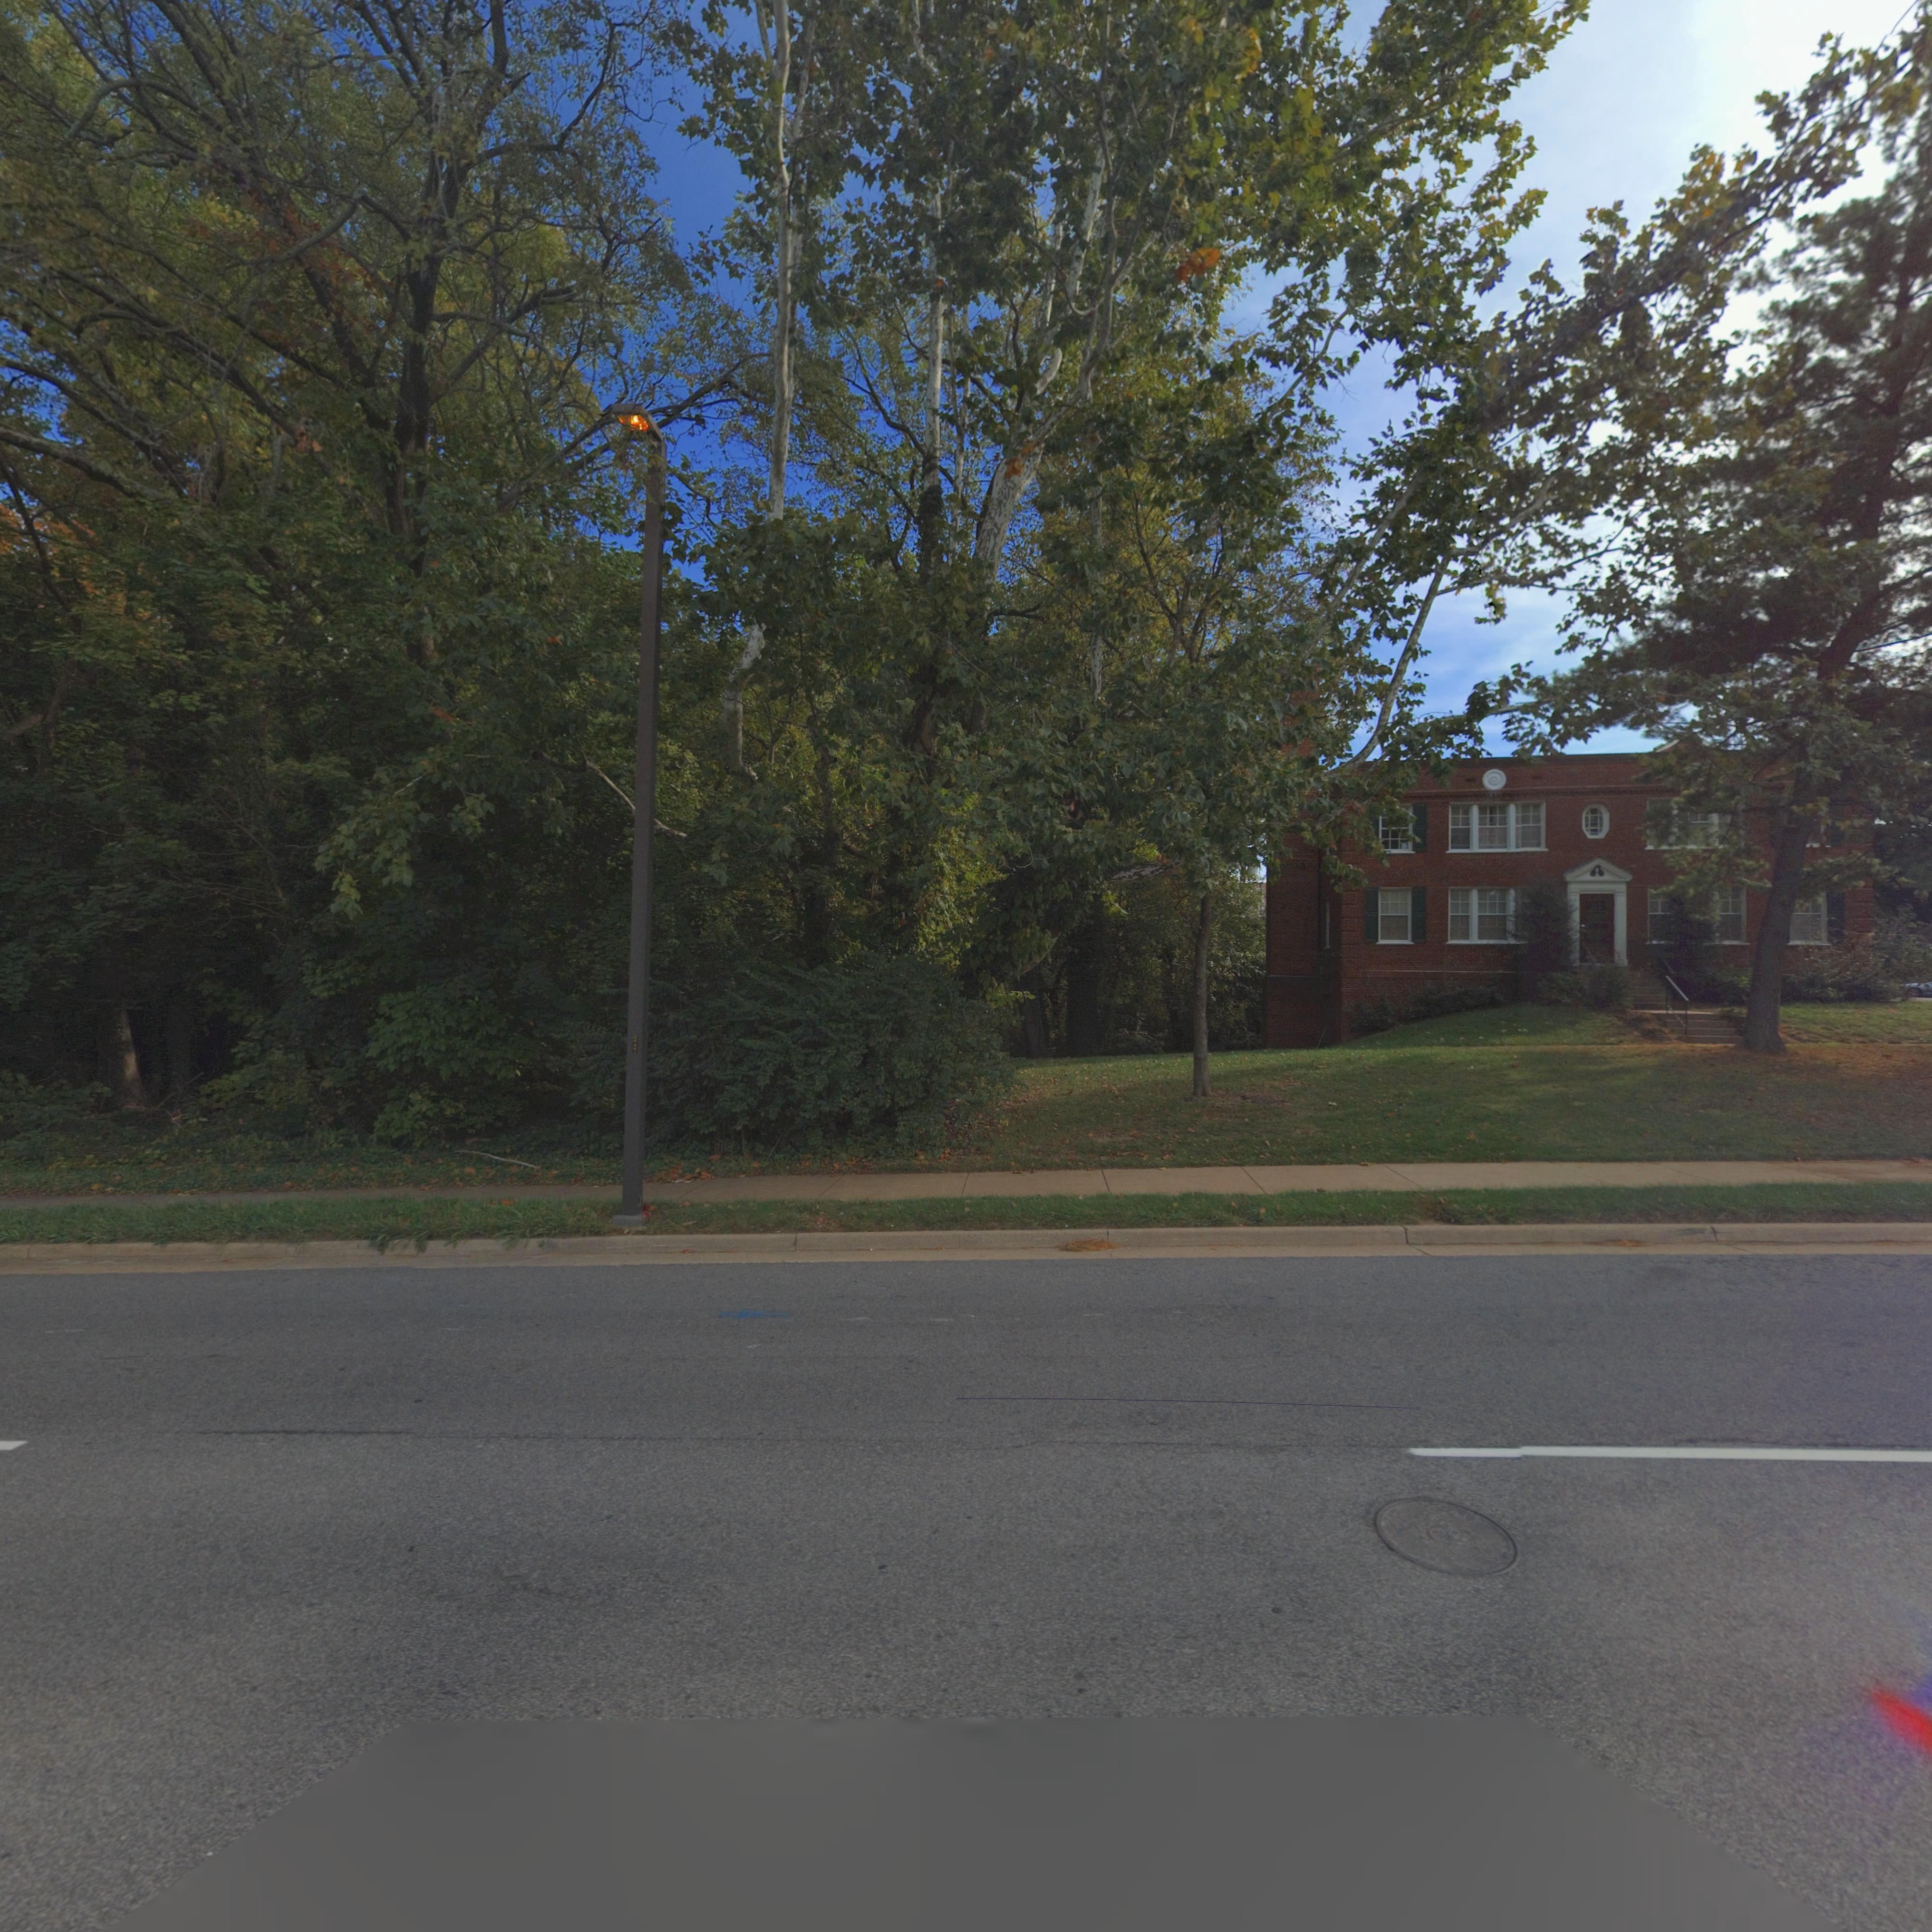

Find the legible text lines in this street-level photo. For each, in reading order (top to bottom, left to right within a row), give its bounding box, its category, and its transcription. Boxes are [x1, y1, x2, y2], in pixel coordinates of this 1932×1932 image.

[632, 1042, 637, 1048] None: 4